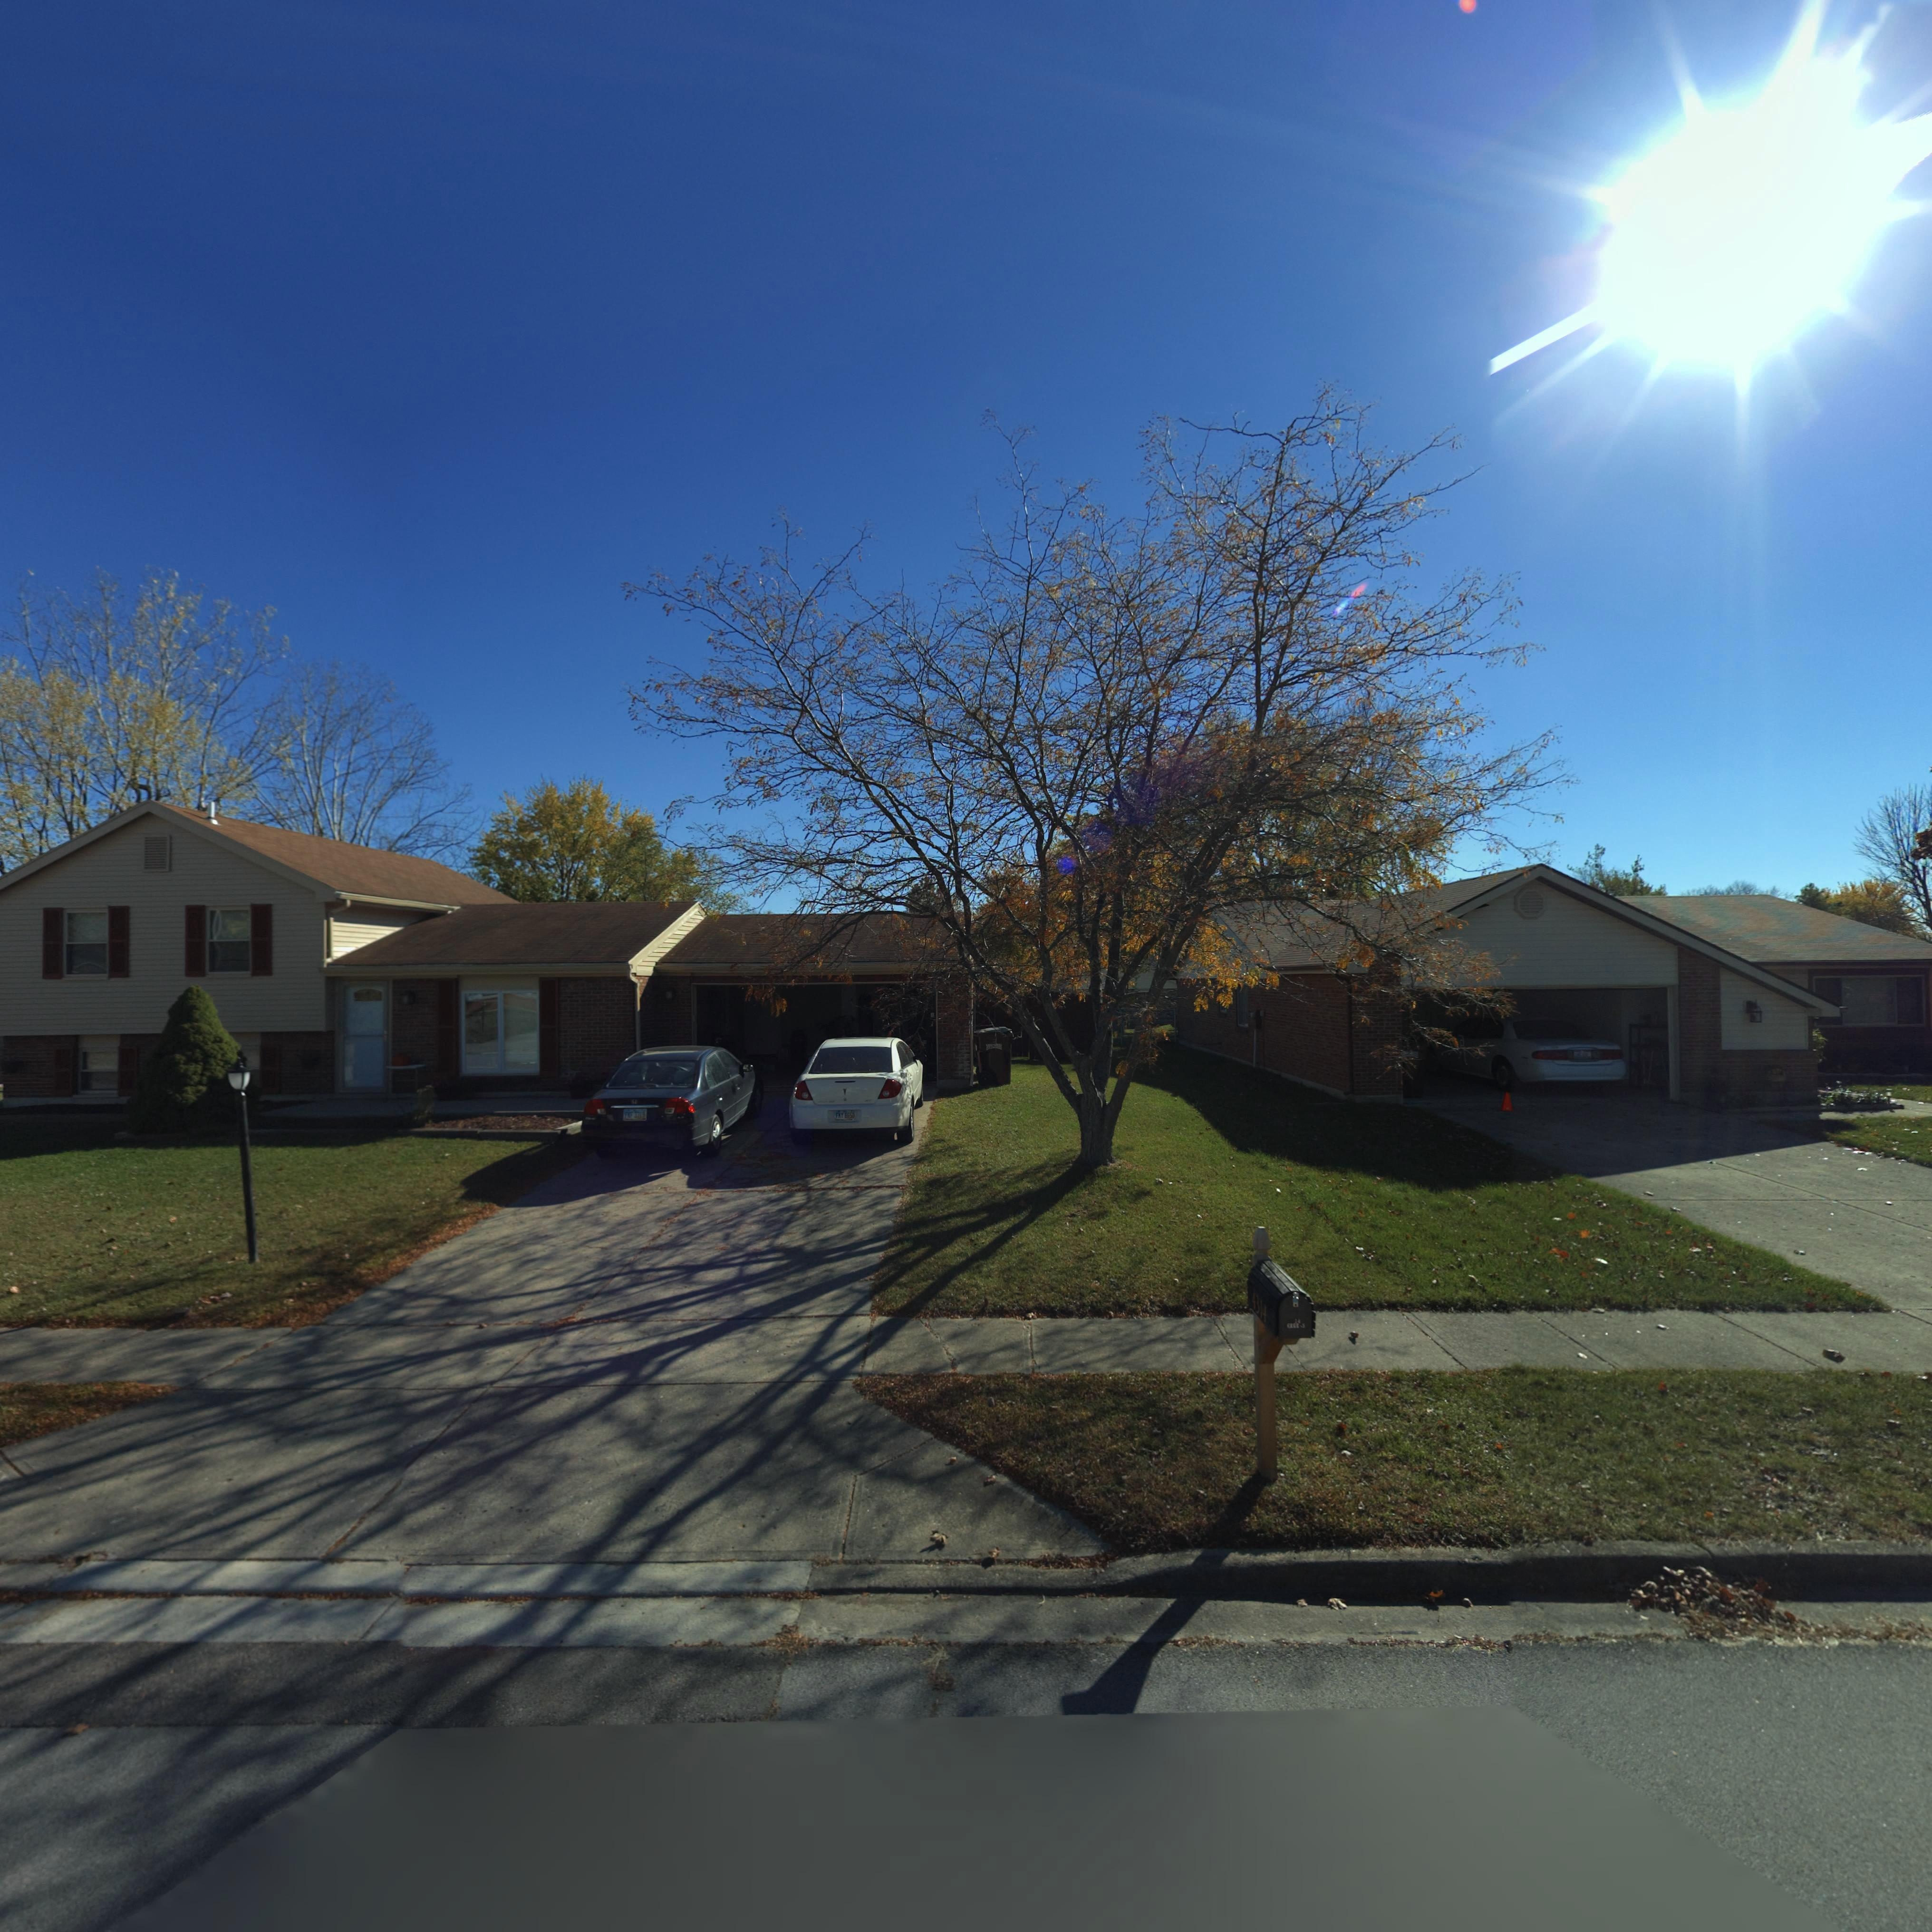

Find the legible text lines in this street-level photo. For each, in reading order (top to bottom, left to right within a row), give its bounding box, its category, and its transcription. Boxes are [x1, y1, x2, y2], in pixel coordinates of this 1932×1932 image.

[1251, 1291, 1268, 1325] StreetNumber: 4314
[1294, 1318, 1301, 1324] StreetNumber: 14